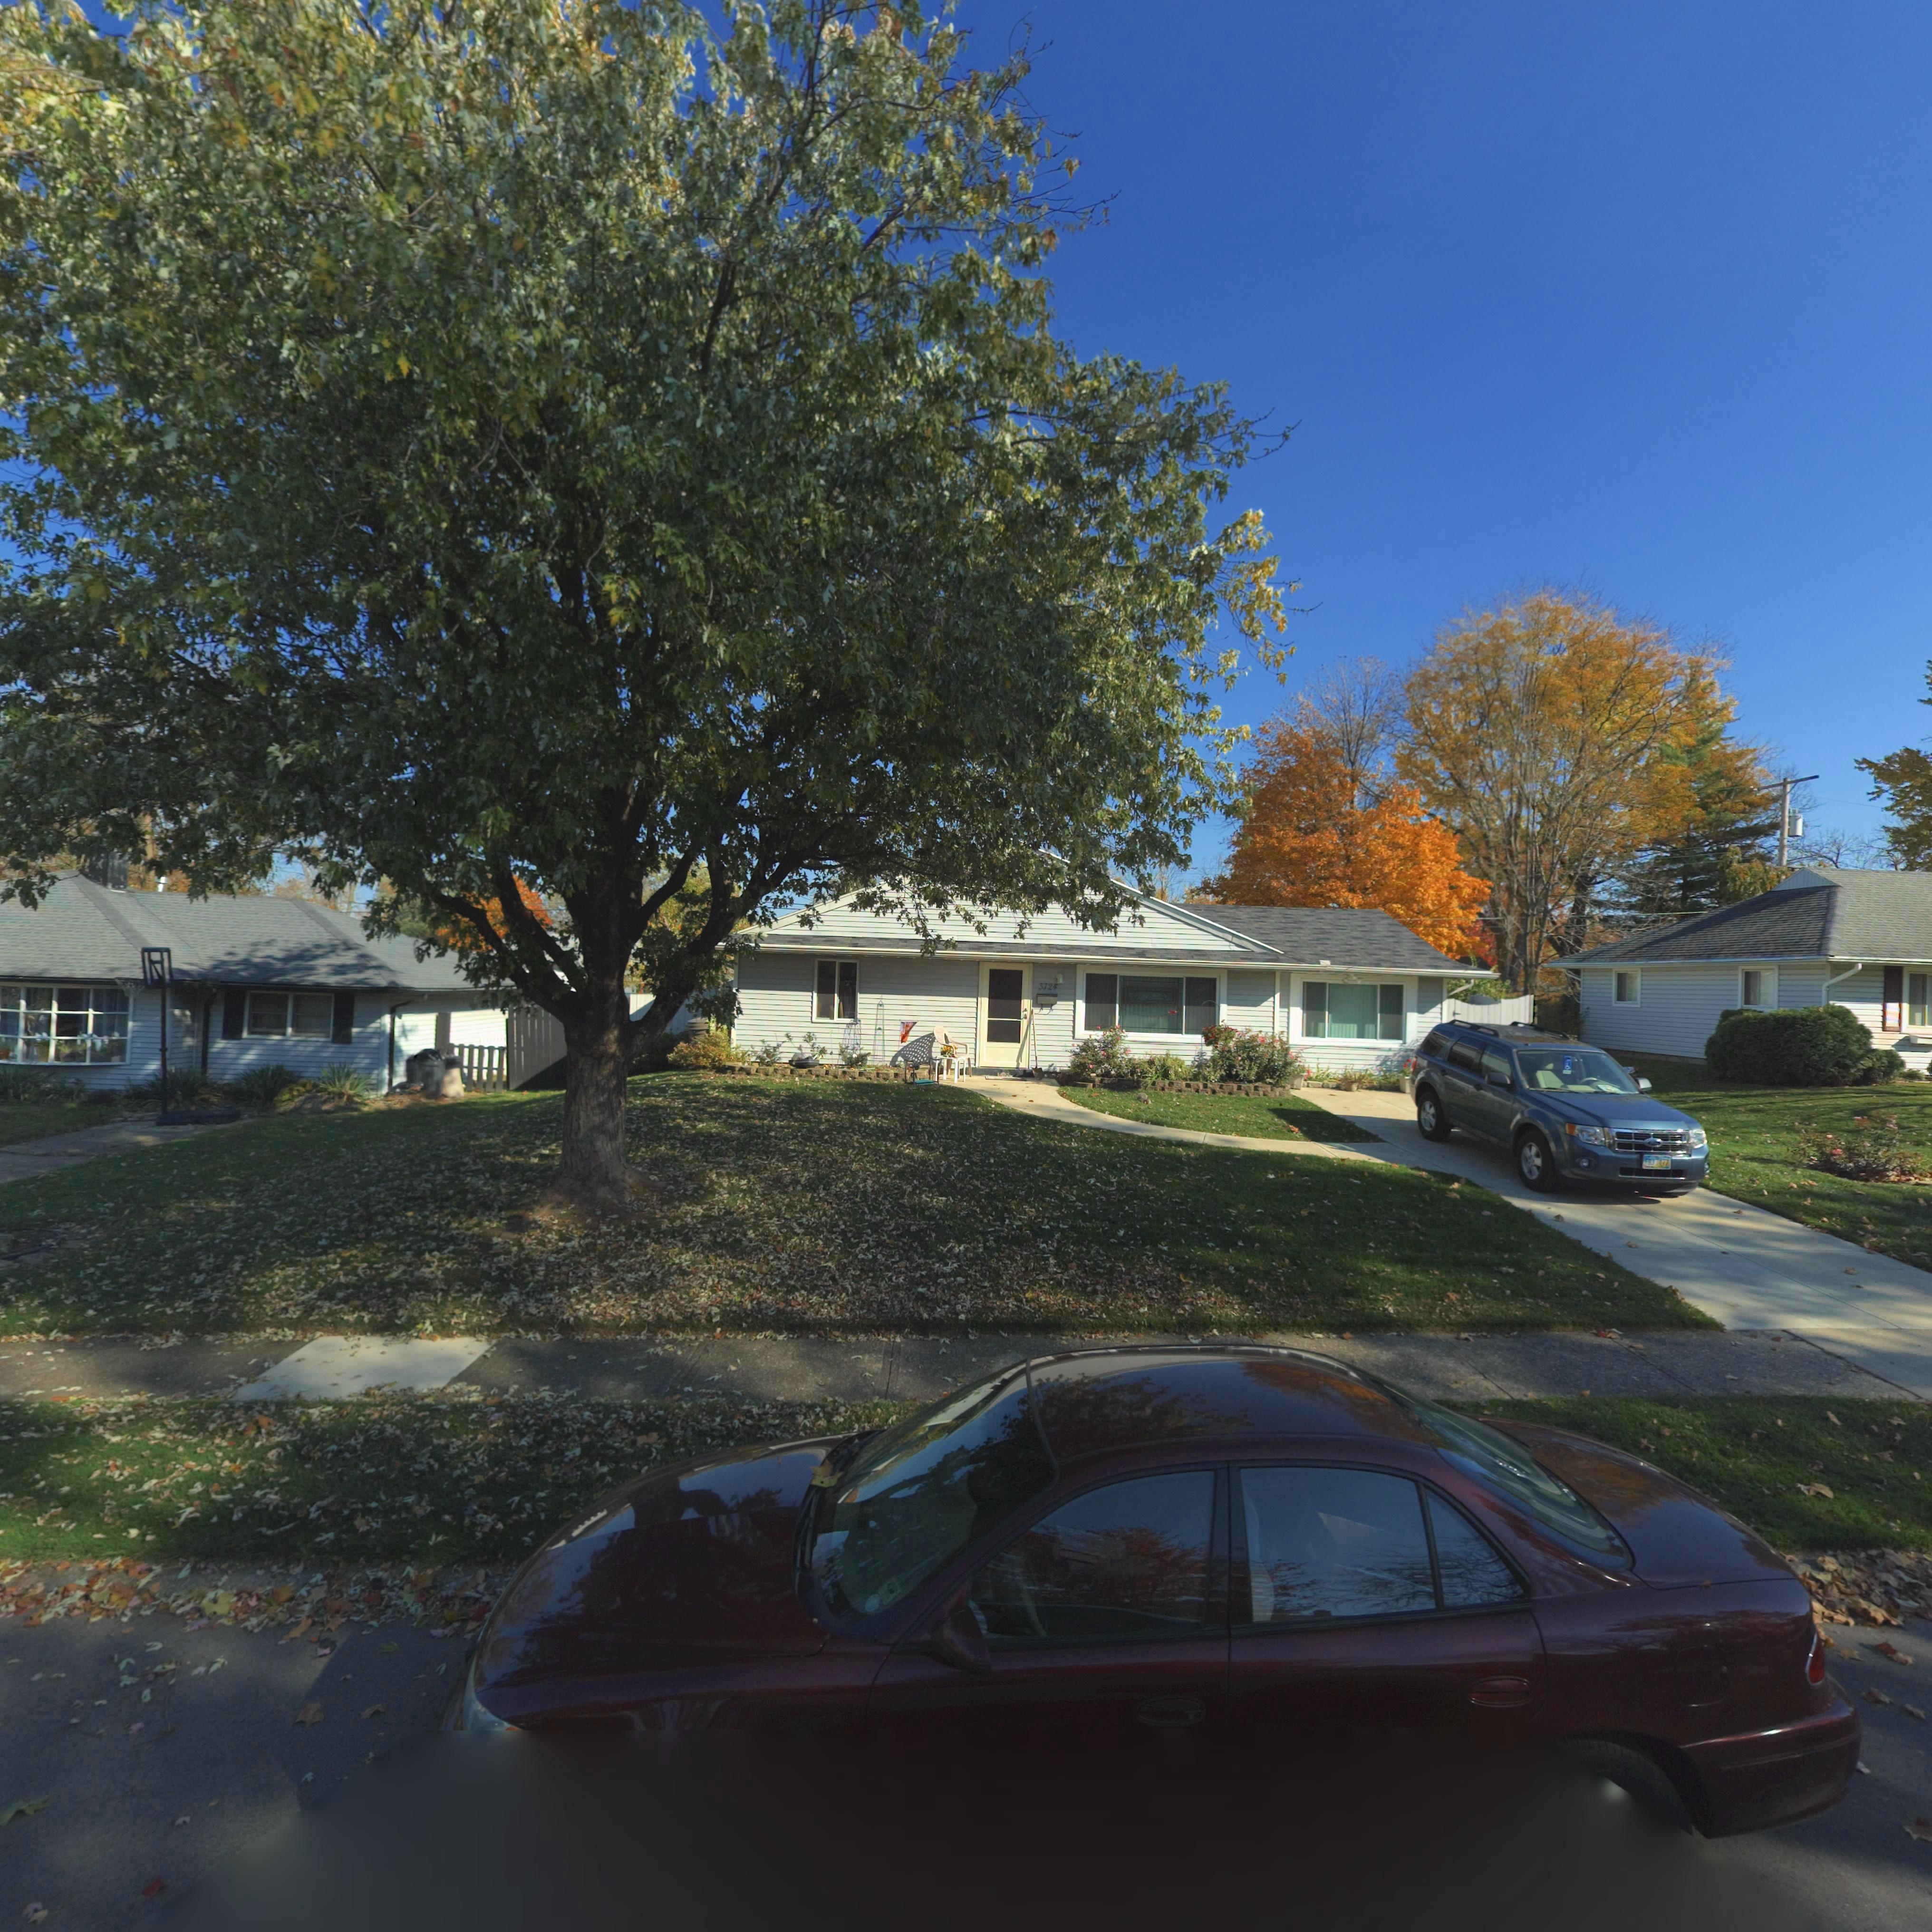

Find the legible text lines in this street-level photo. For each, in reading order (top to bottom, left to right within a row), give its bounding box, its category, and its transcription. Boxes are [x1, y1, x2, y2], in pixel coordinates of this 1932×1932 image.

[1039, 983, 1057, 990] StreetNumber: 3724